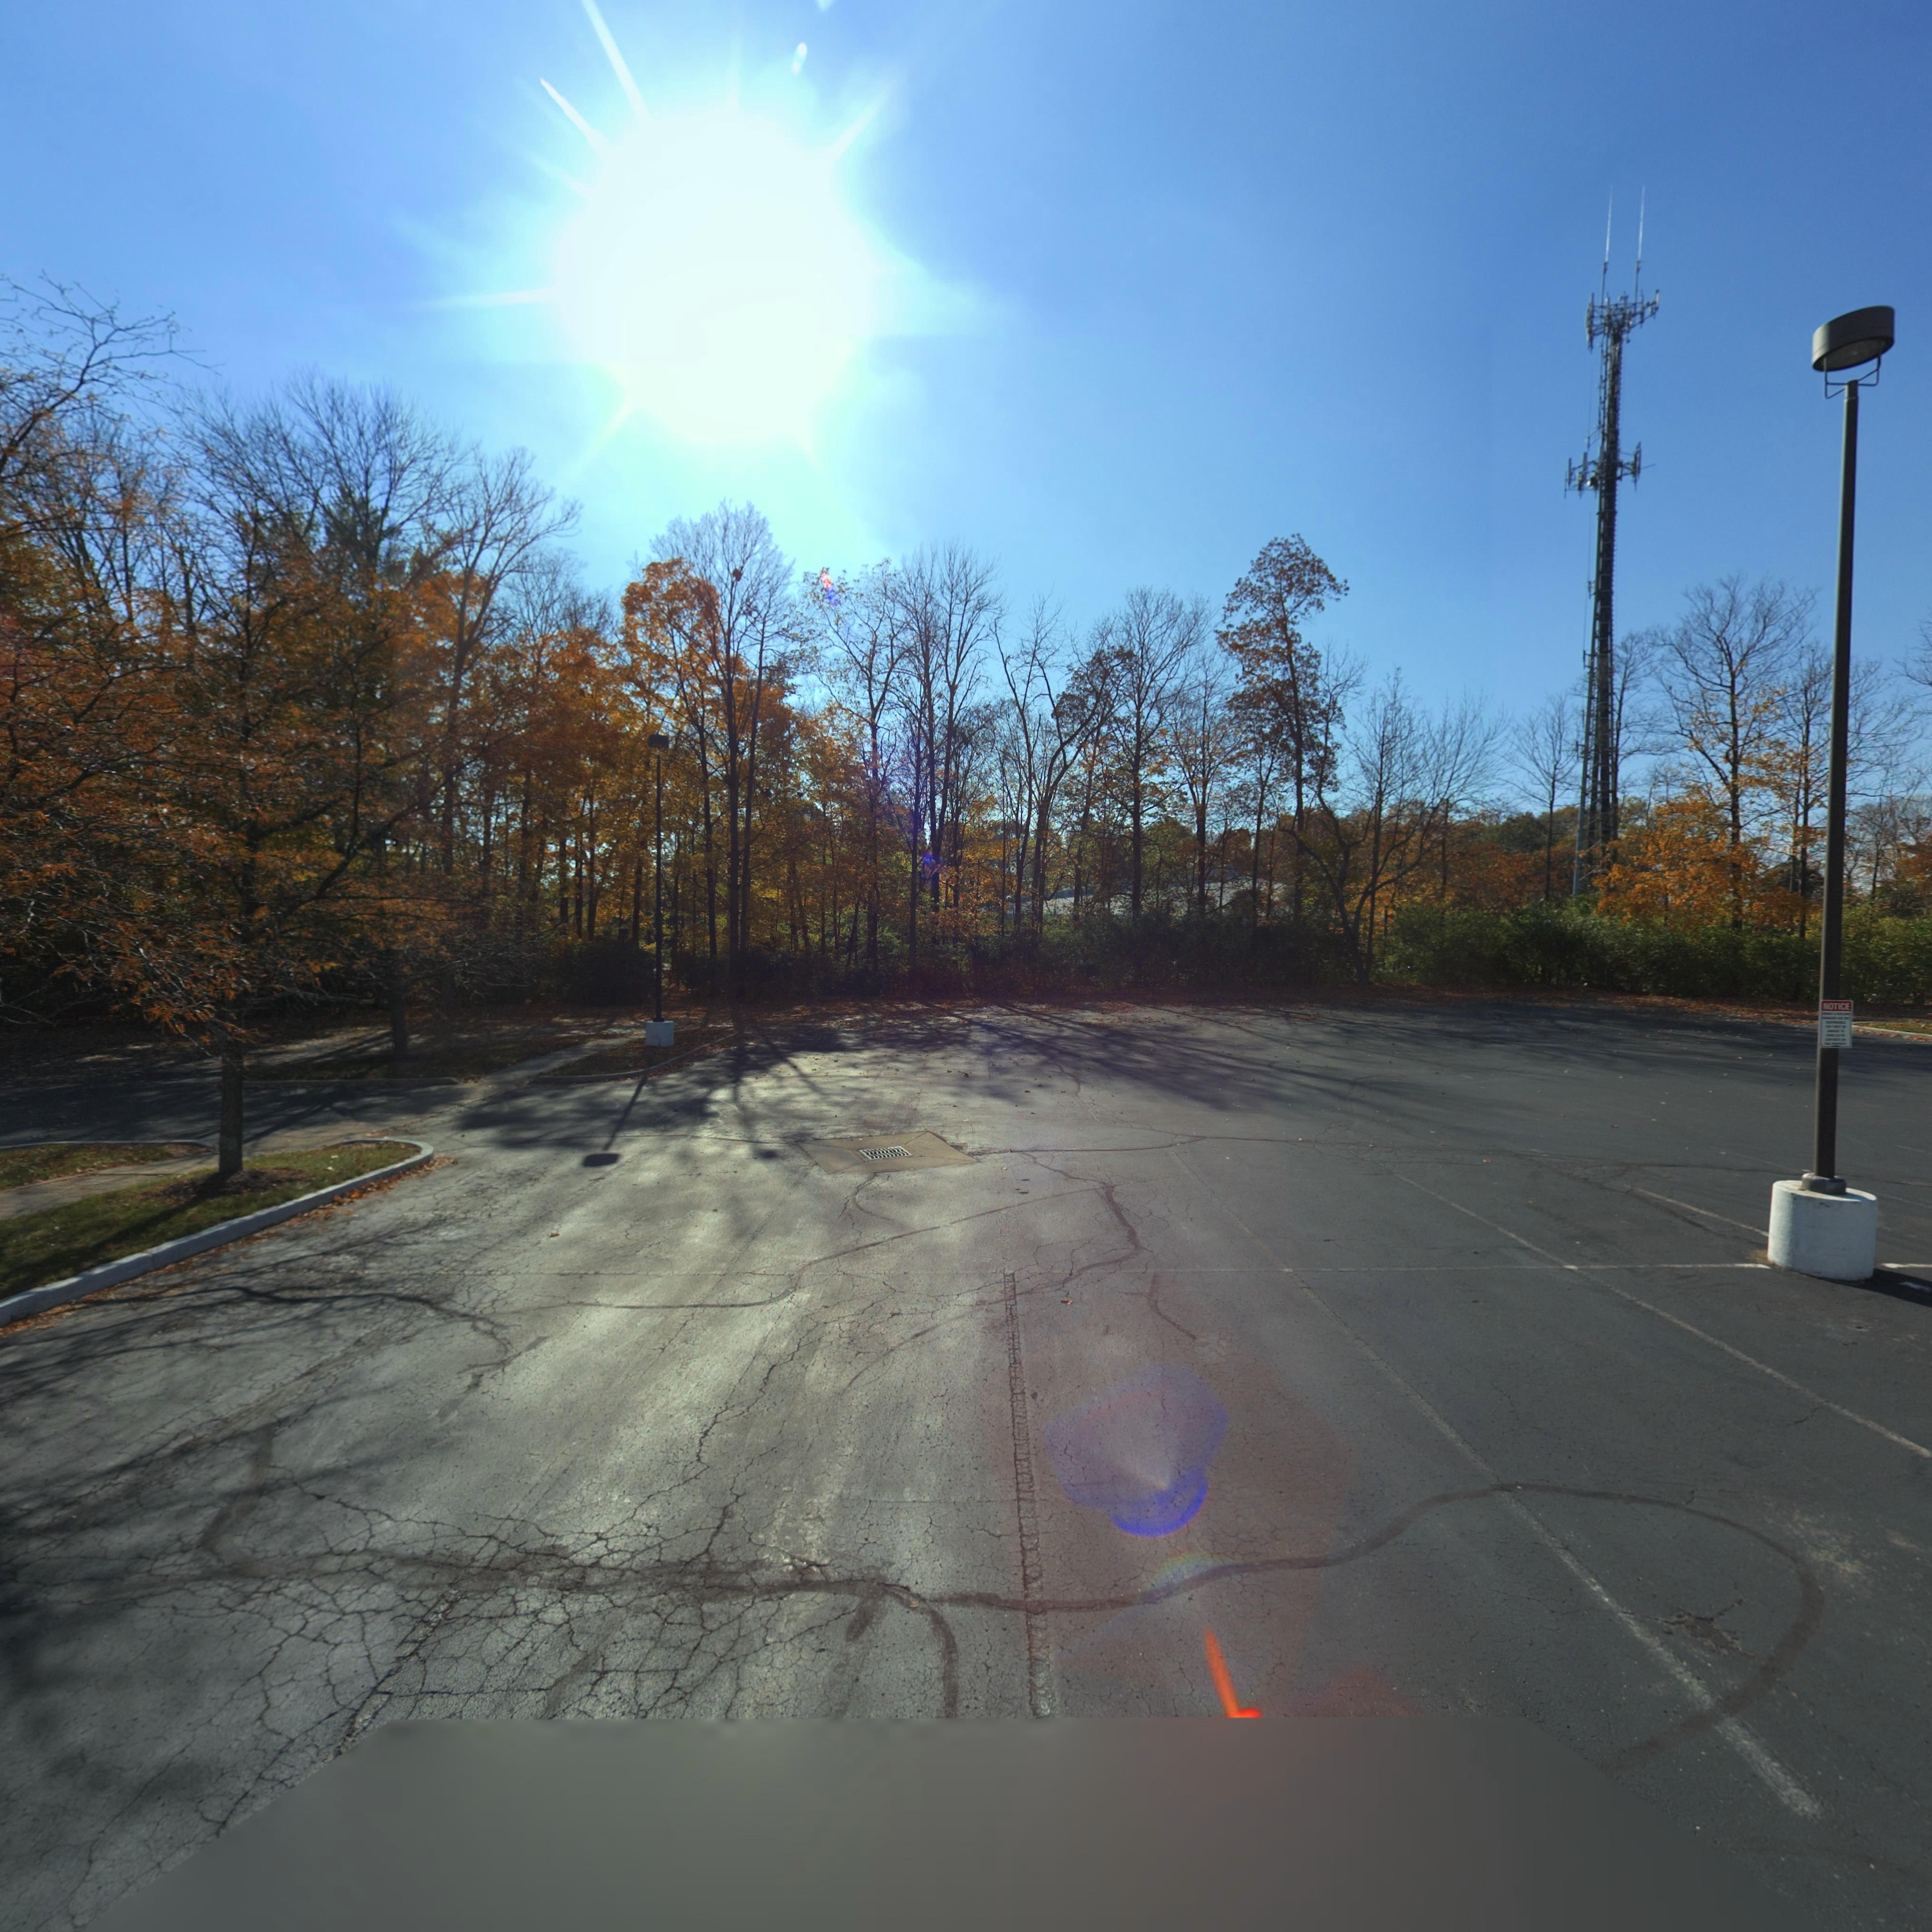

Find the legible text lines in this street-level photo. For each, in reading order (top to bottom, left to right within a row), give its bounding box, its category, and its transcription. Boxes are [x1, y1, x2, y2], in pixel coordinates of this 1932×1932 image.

[1823, 1002, 1851, 1011] None: NOTICE